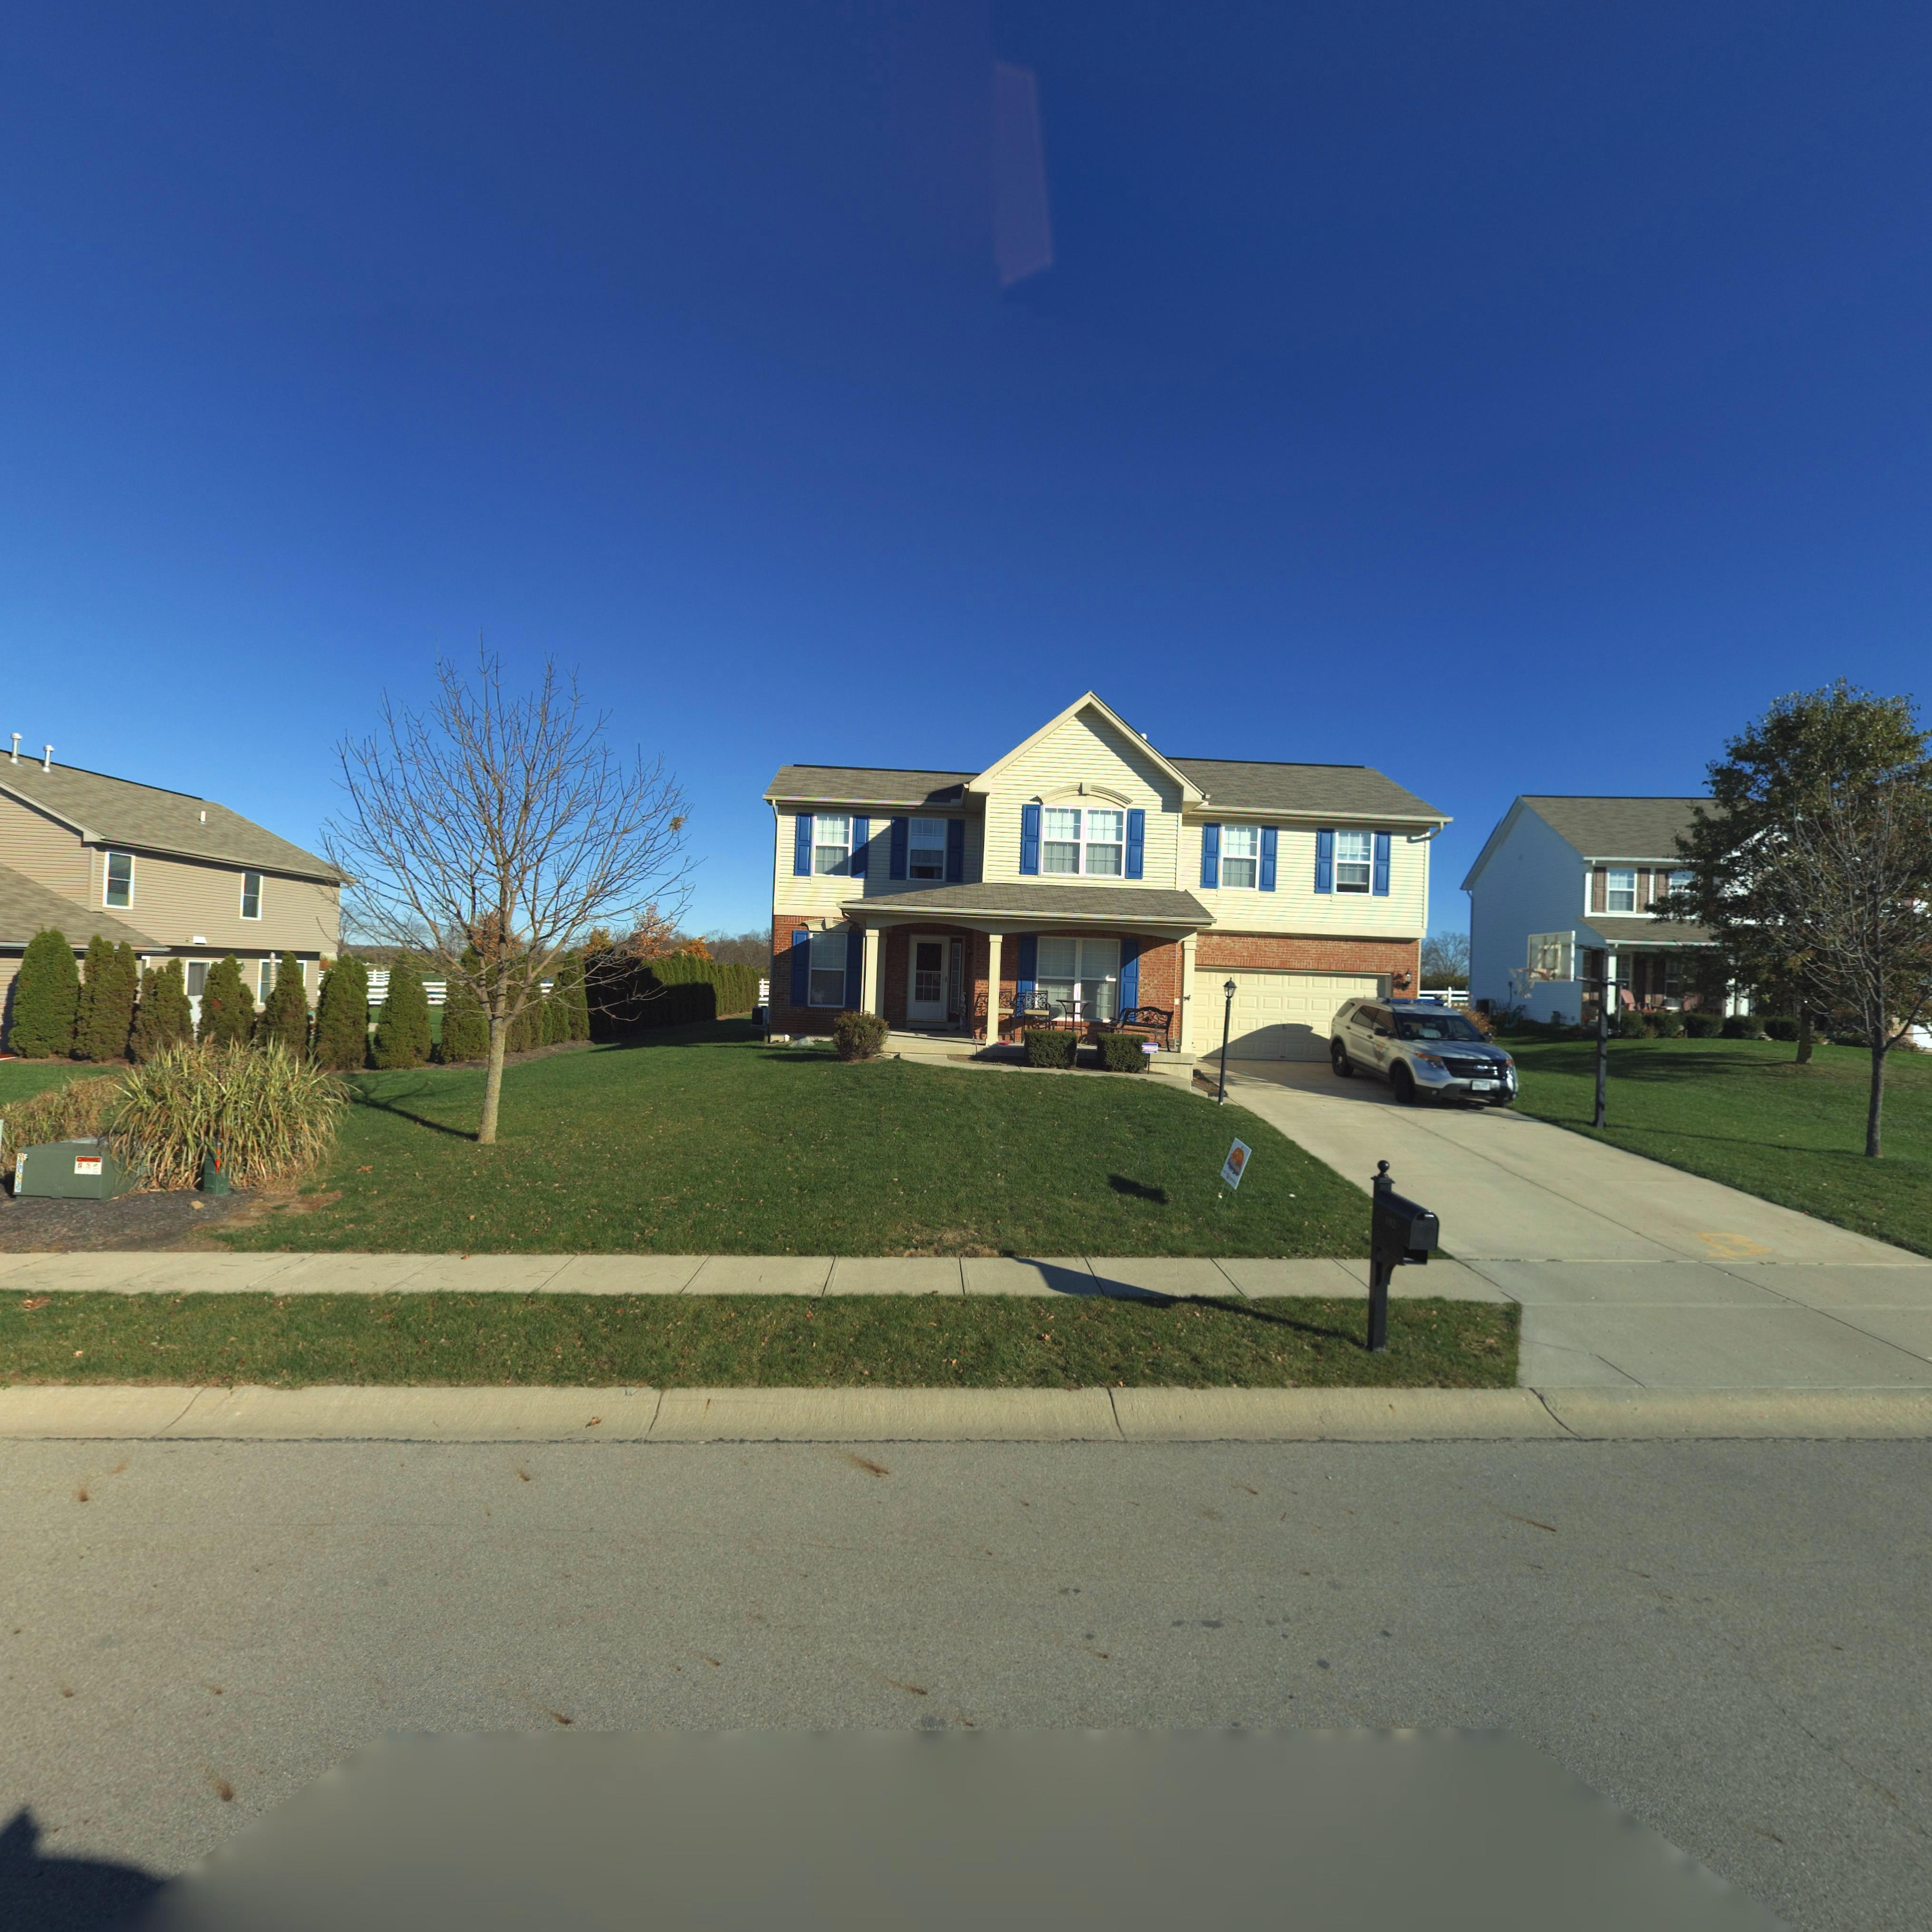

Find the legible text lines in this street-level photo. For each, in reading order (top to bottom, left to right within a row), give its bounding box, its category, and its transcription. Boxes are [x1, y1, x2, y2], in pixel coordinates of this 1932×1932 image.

[1383, 1214, 1398, 1230] StreetNumber: 102